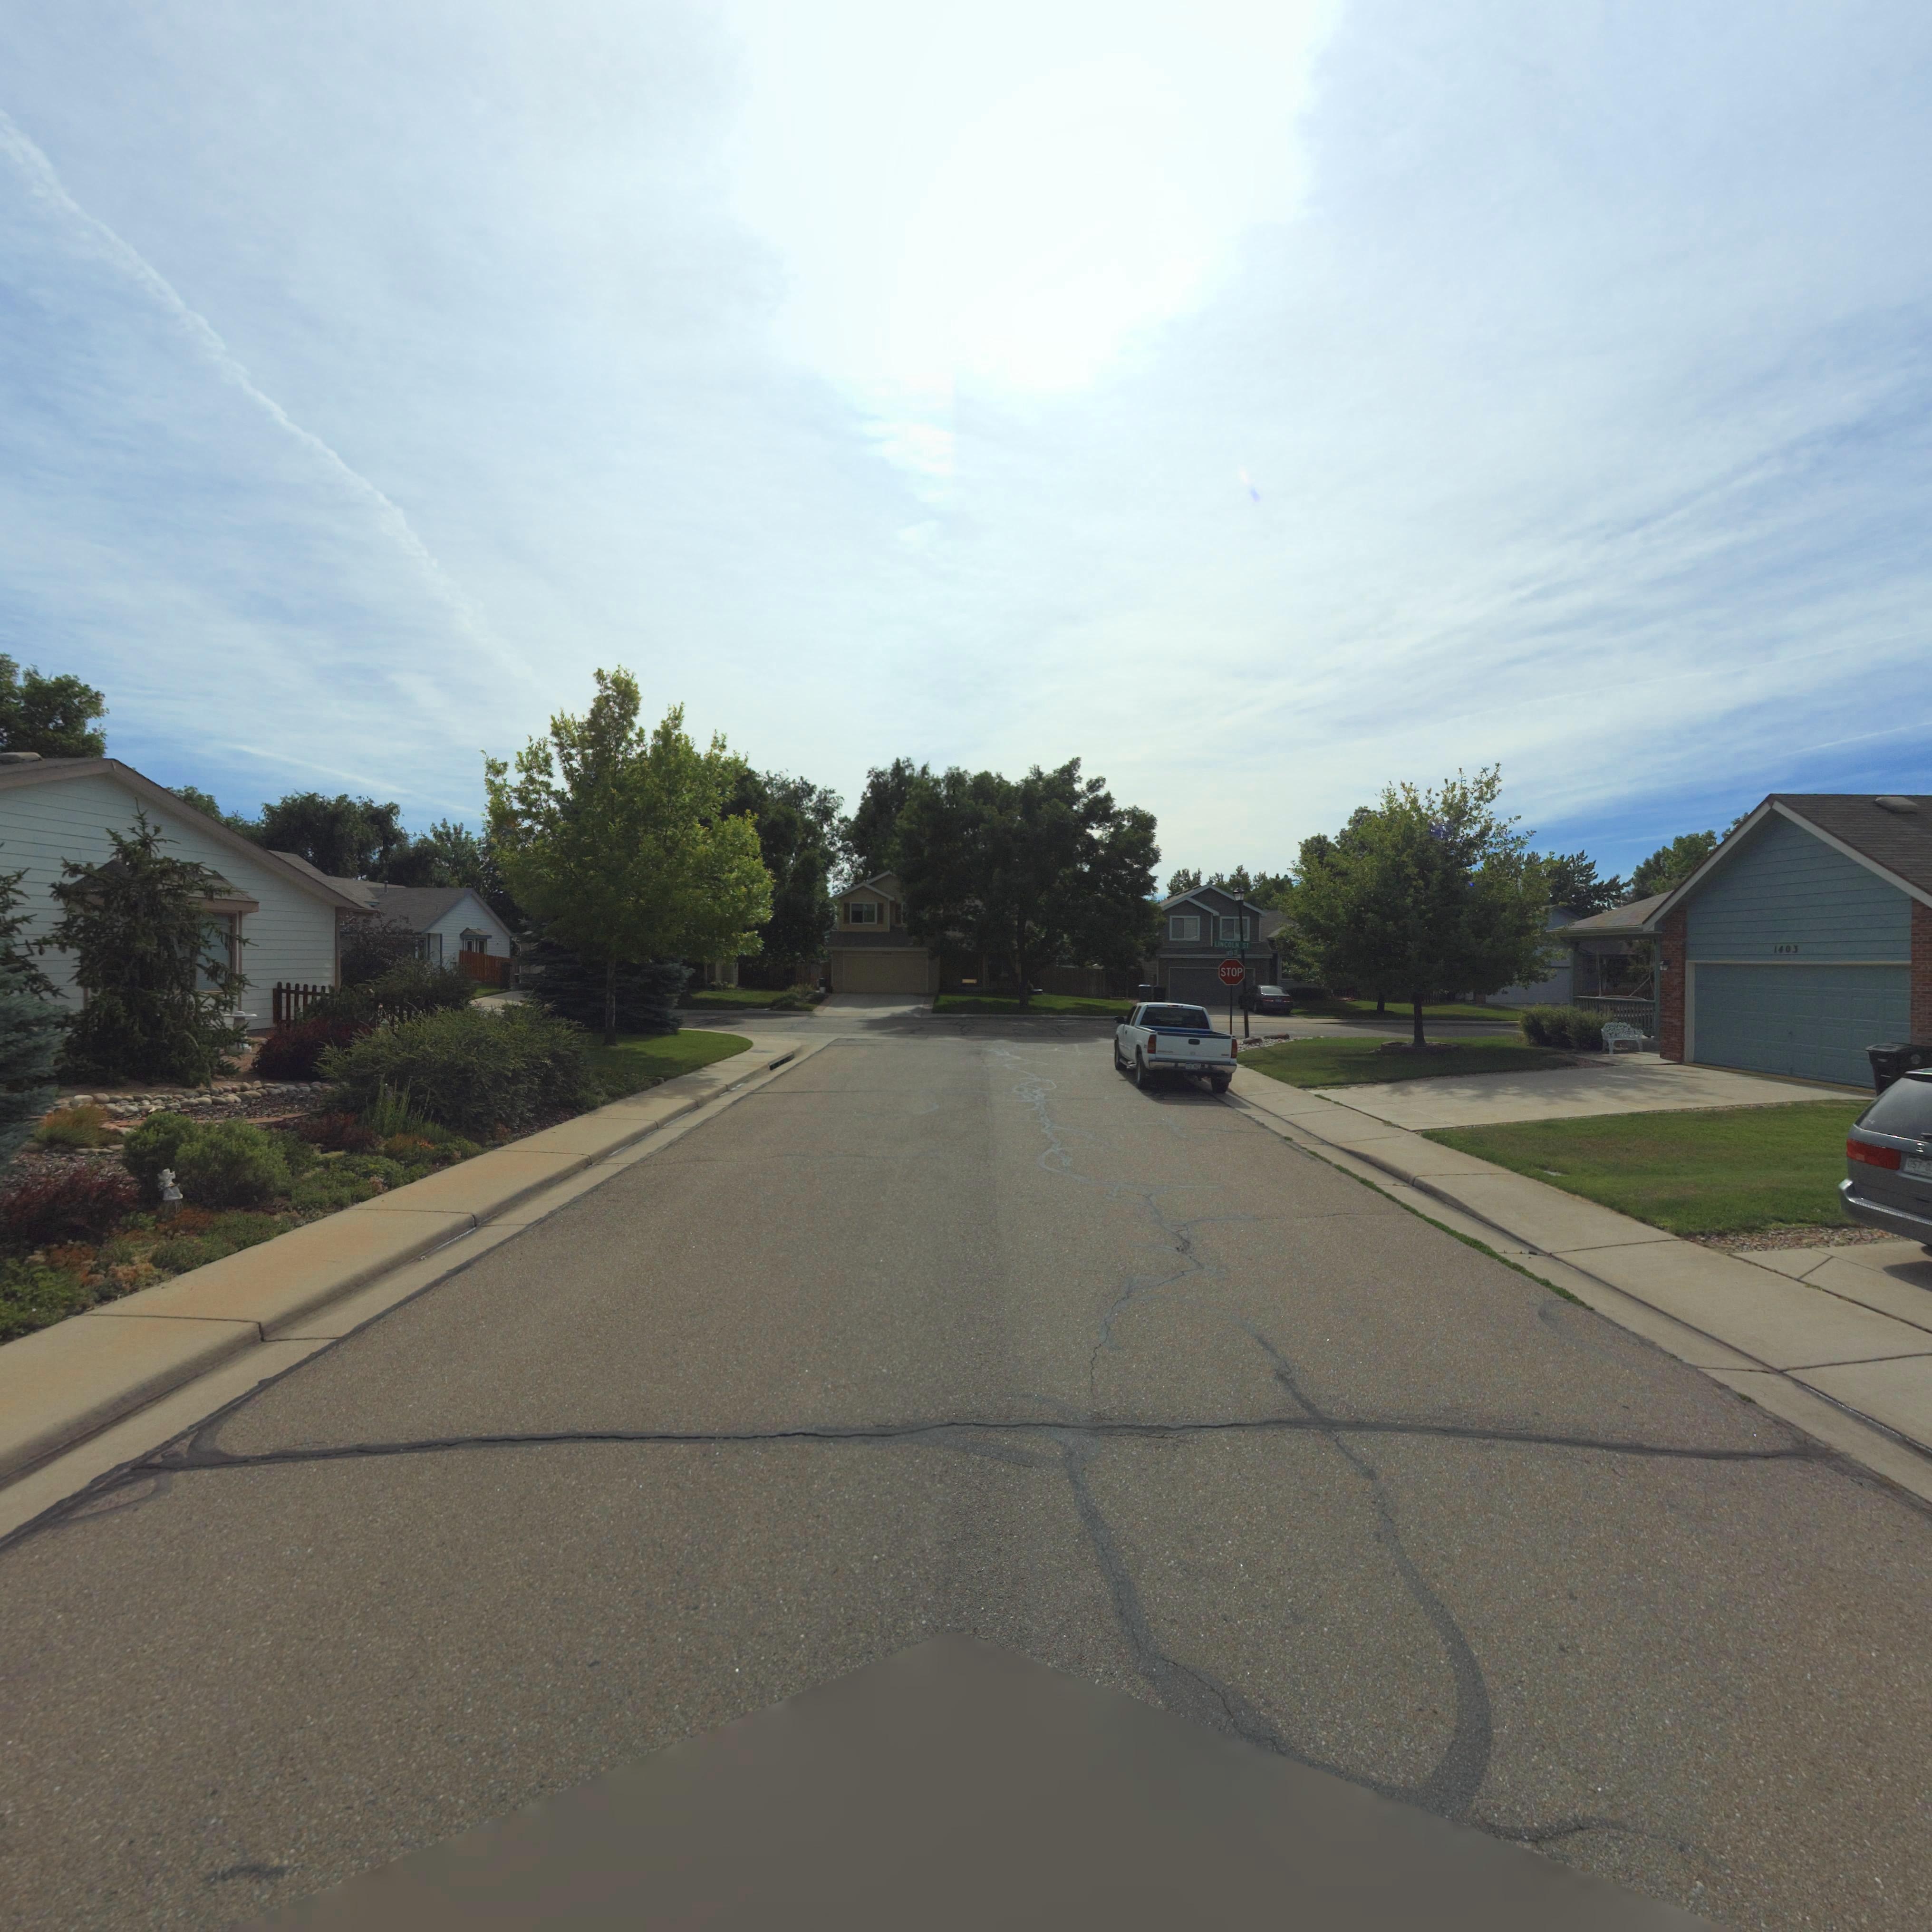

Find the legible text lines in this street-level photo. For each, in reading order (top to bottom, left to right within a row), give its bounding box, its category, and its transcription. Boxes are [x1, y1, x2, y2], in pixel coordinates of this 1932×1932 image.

[1215, 941, 1249, 948] BusinessName: LINCOLN ST
[1773, 945, 1799, 954] StreetNumber: 1403
[881, 951, 892, 956] StreetNumber: 13**